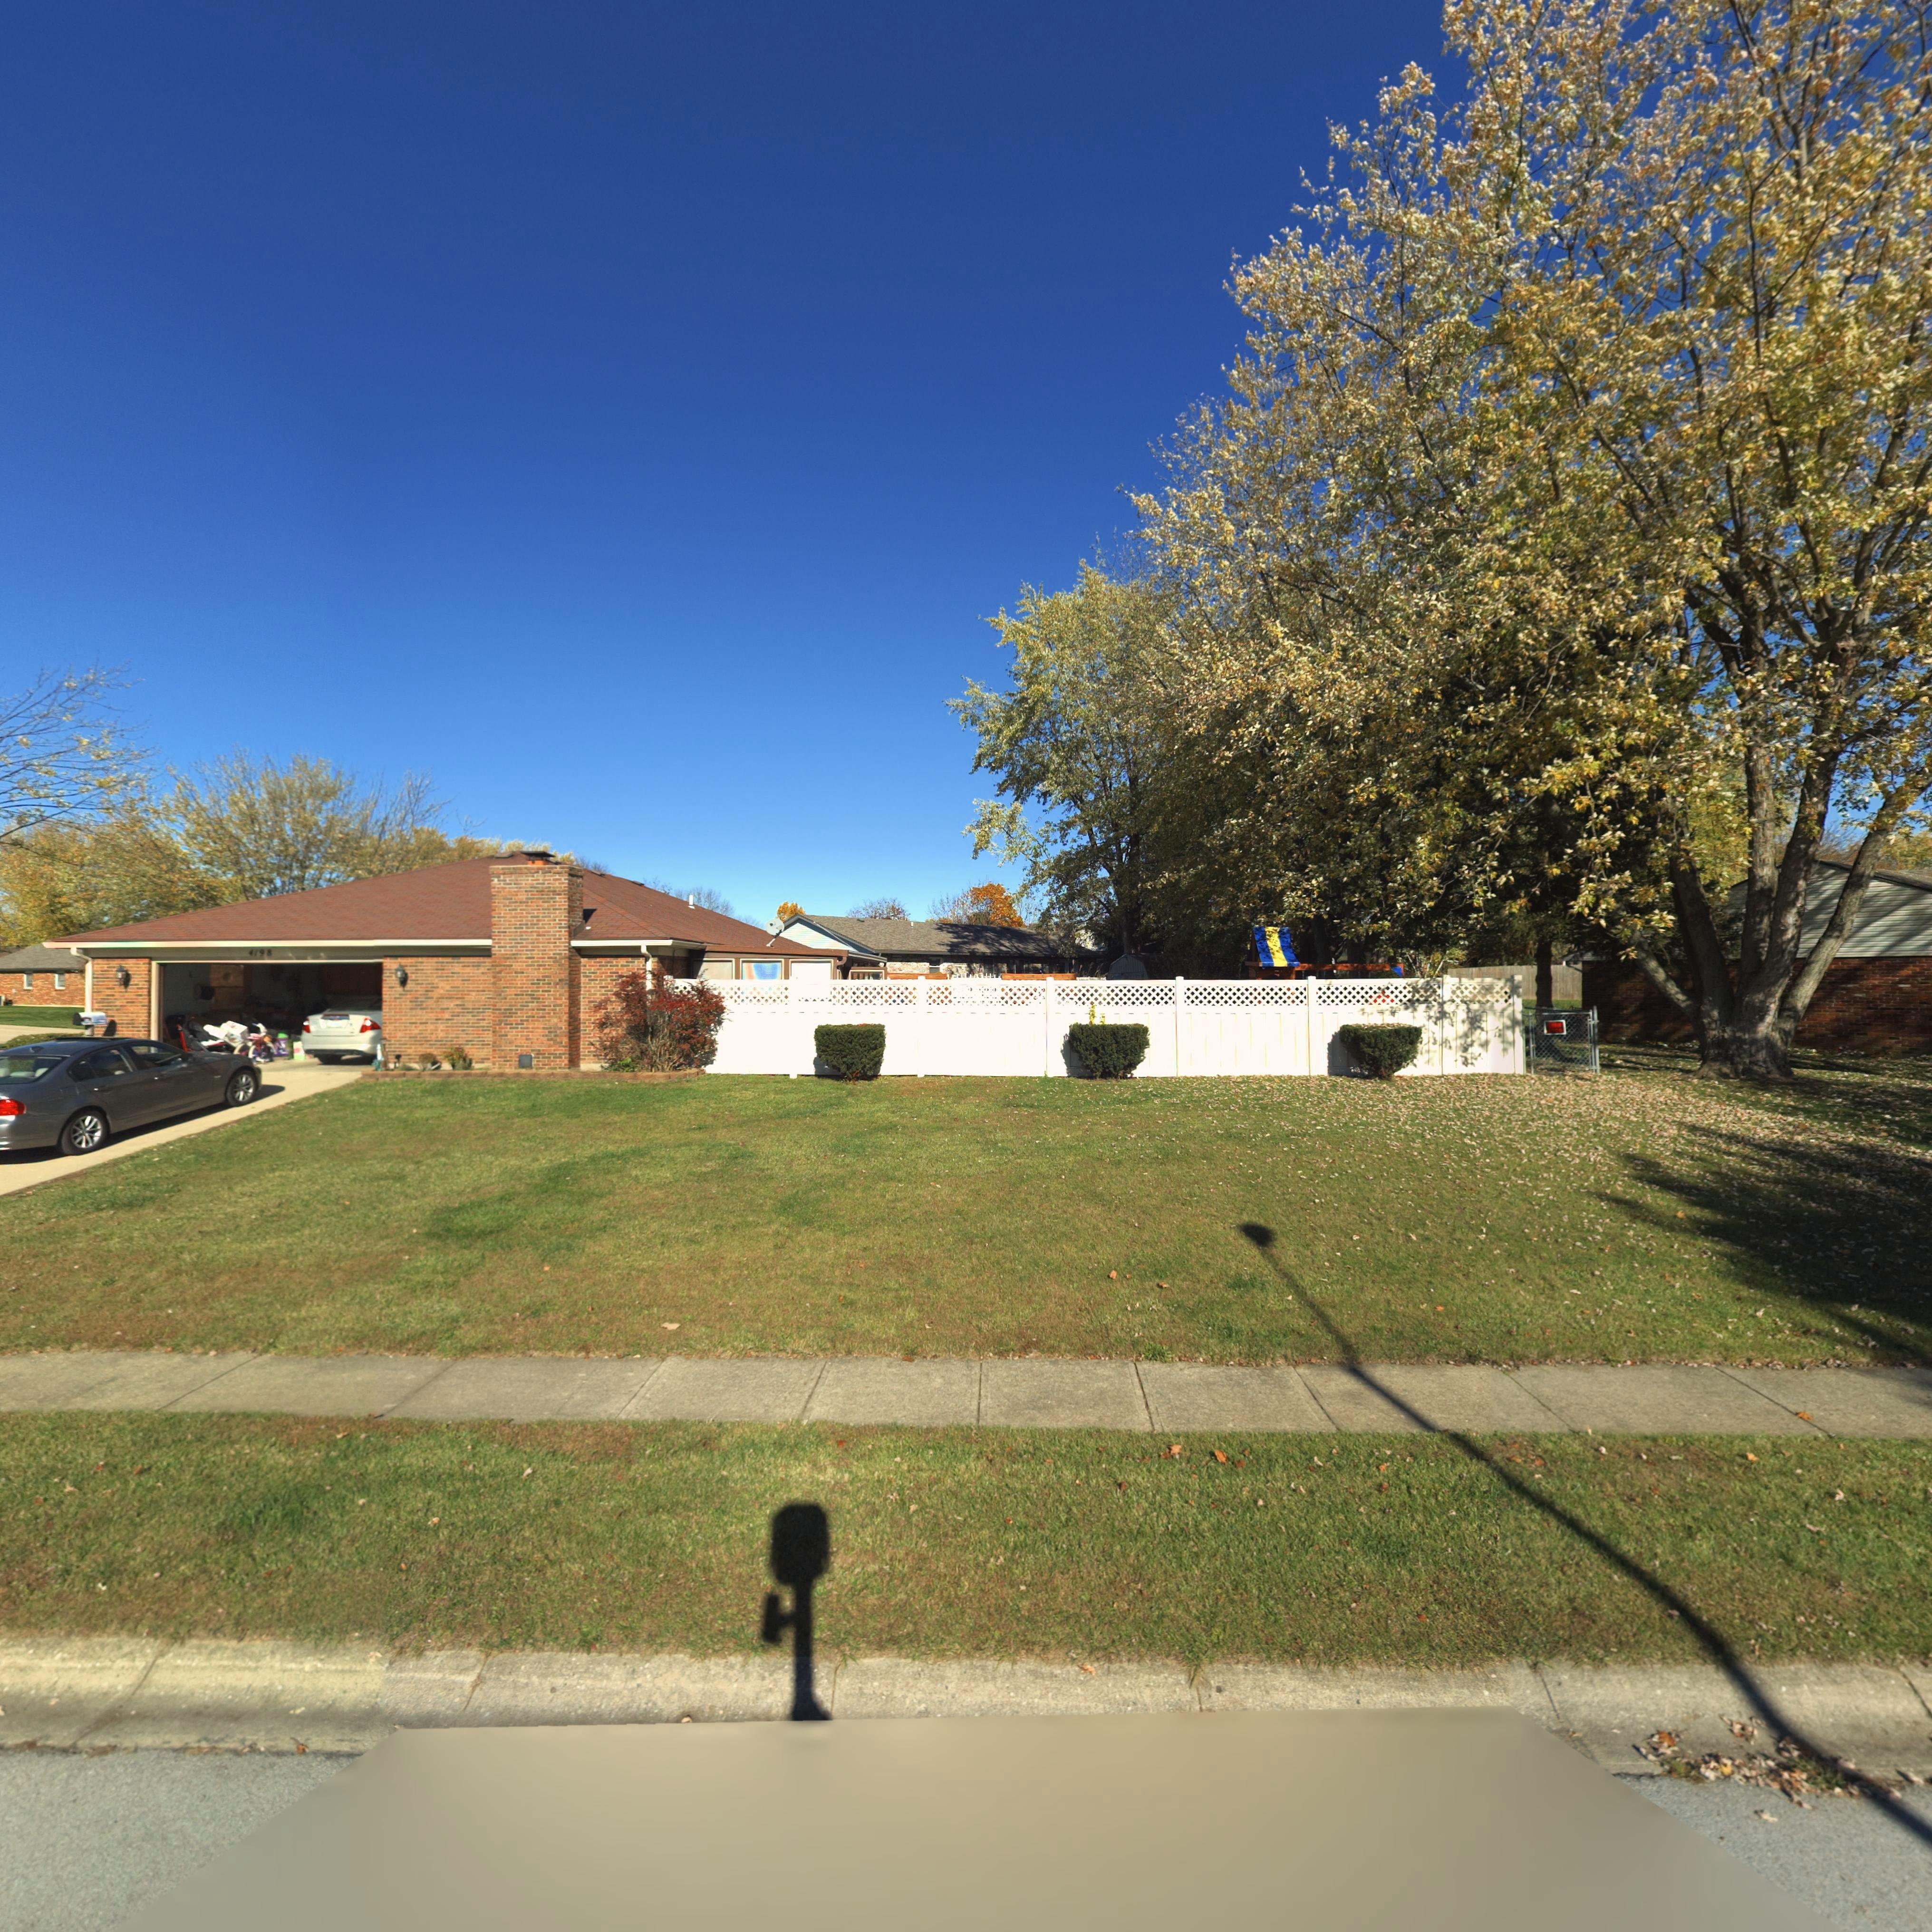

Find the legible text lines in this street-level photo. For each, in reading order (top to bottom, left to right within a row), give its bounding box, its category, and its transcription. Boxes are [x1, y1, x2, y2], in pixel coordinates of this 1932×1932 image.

[246, 947, 274, 958] StreetNumber: 4198